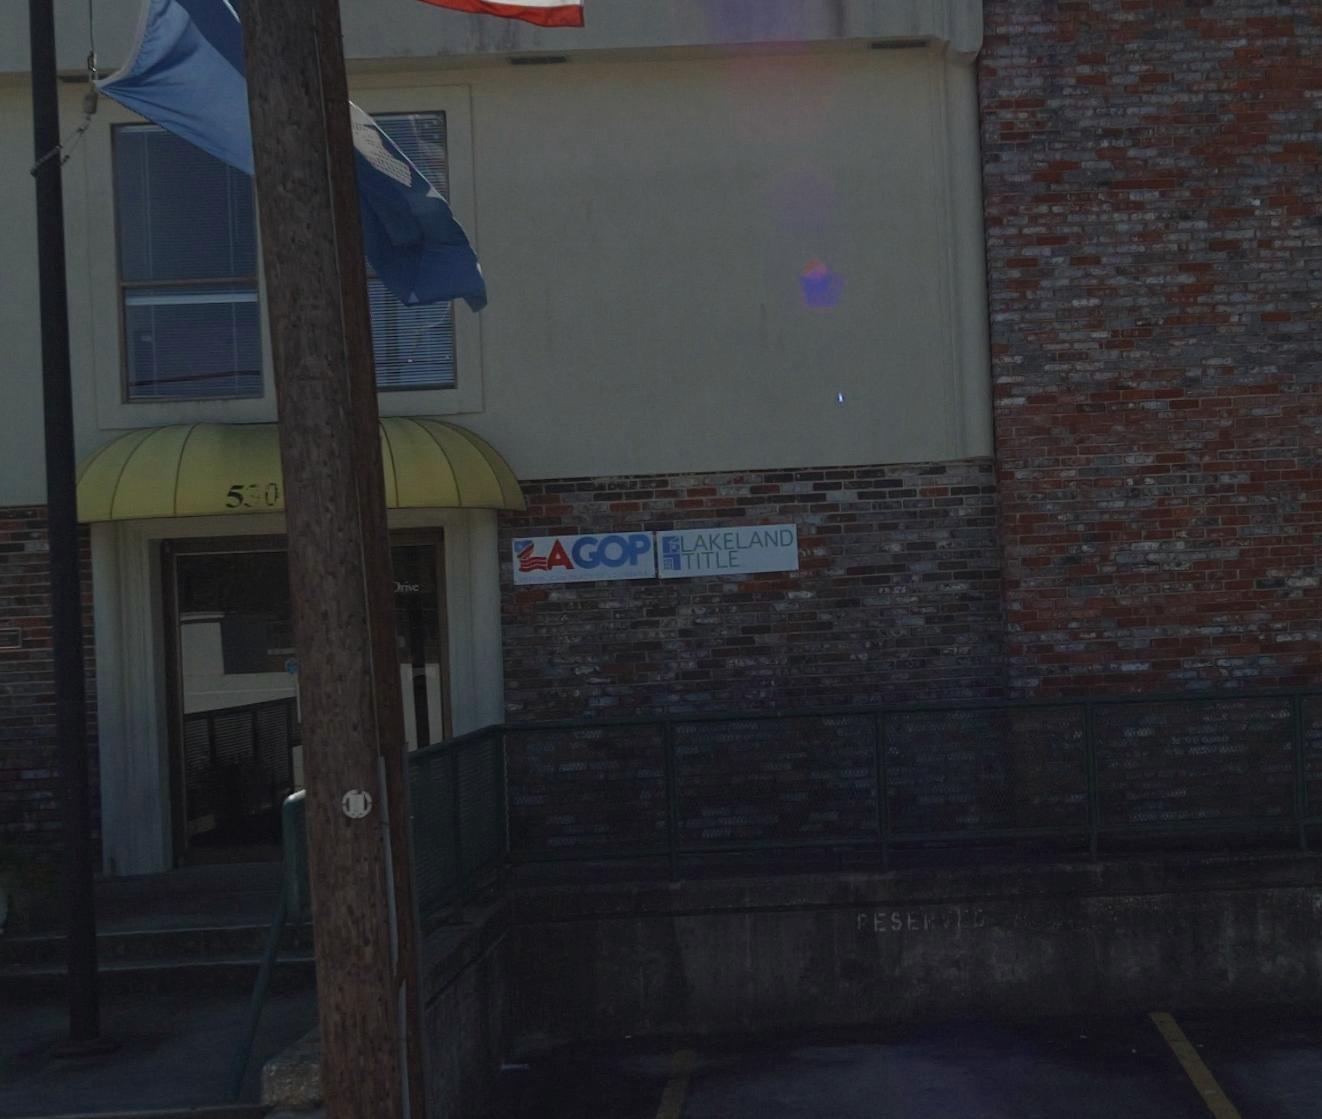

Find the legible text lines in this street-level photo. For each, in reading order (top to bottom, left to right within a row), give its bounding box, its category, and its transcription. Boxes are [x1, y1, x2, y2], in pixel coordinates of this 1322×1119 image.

[220, 480, 282, 511] StreetNumber: 5*0
[510, 531, 654, 576] None: LAGOP
[679, 548, 743, 573] BusinessName: TITLE
[678, 527, 797, 554] BusinessName: LAKELAND
[399, 580, 422, 595] StreetName: rive
[871, 909, 940, 935] None: ES**